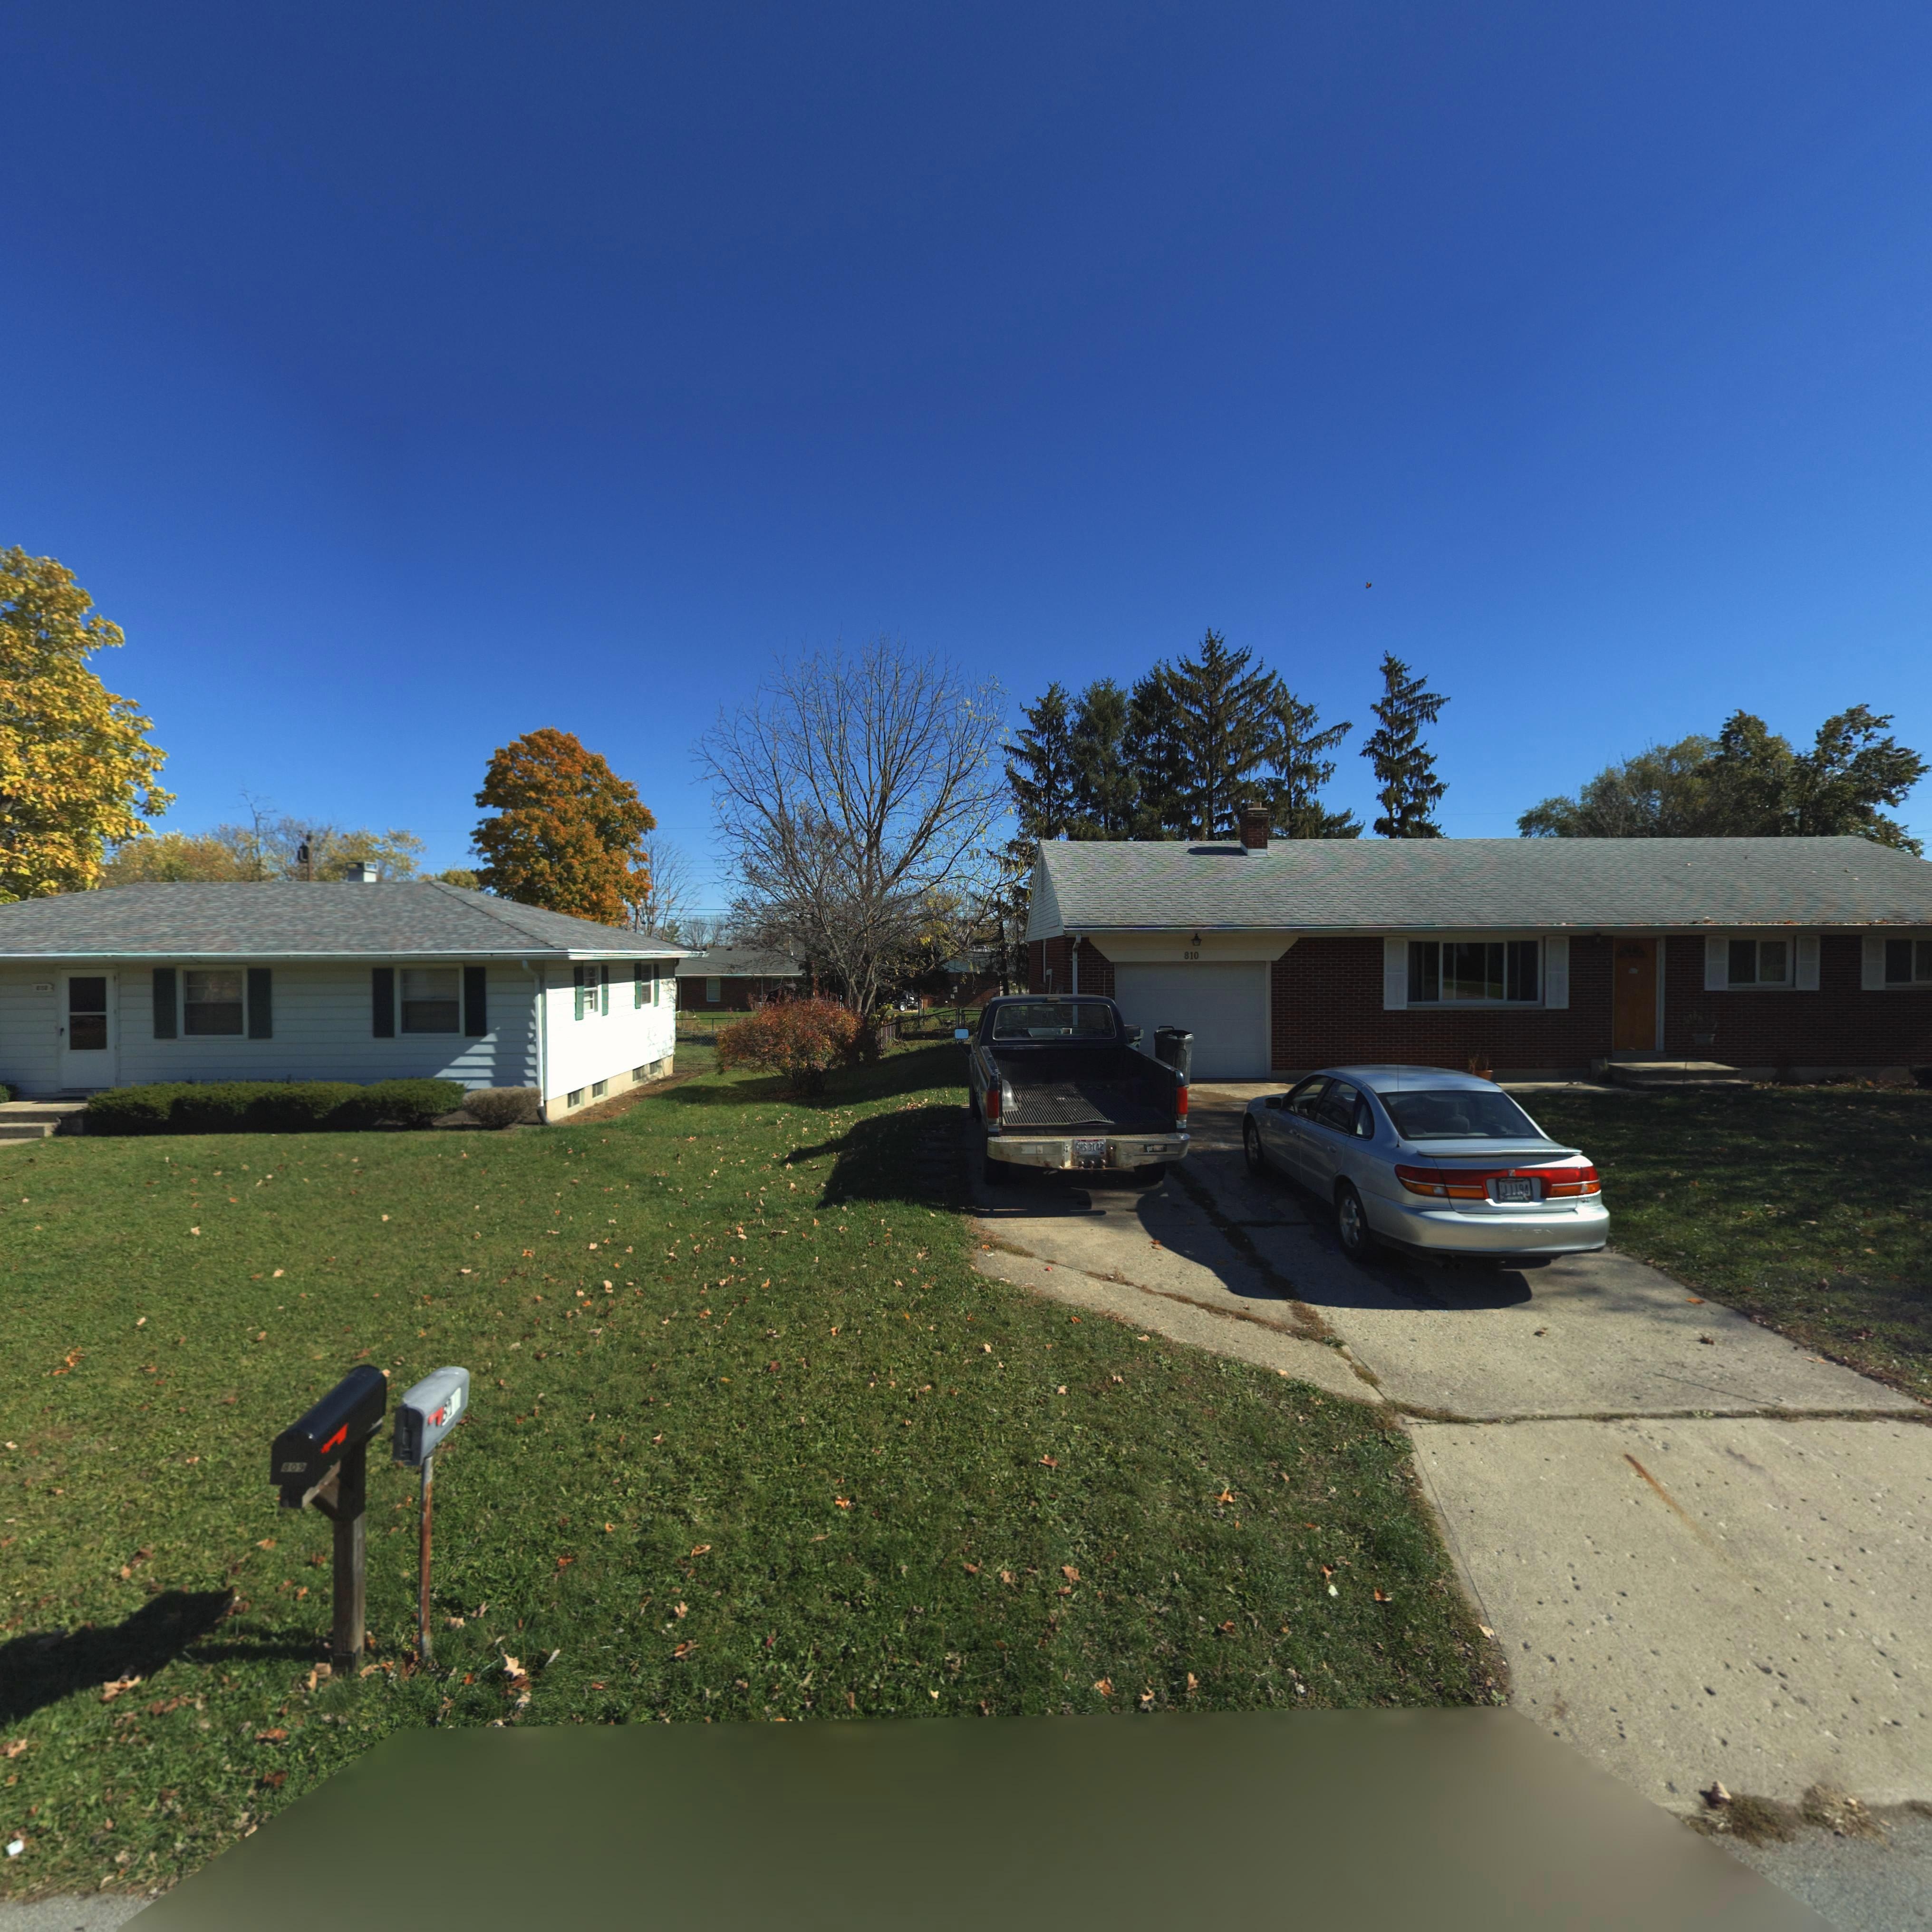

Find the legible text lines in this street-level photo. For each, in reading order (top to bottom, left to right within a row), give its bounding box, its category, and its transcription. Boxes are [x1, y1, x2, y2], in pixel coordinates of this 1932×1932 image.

[1184, 950, 1200, 960] StreetNumber: 810
[440, 1389, 461, 1426] StreetNumber: 8**
[281, 1461, 306, 1473] StreetNumber: 809